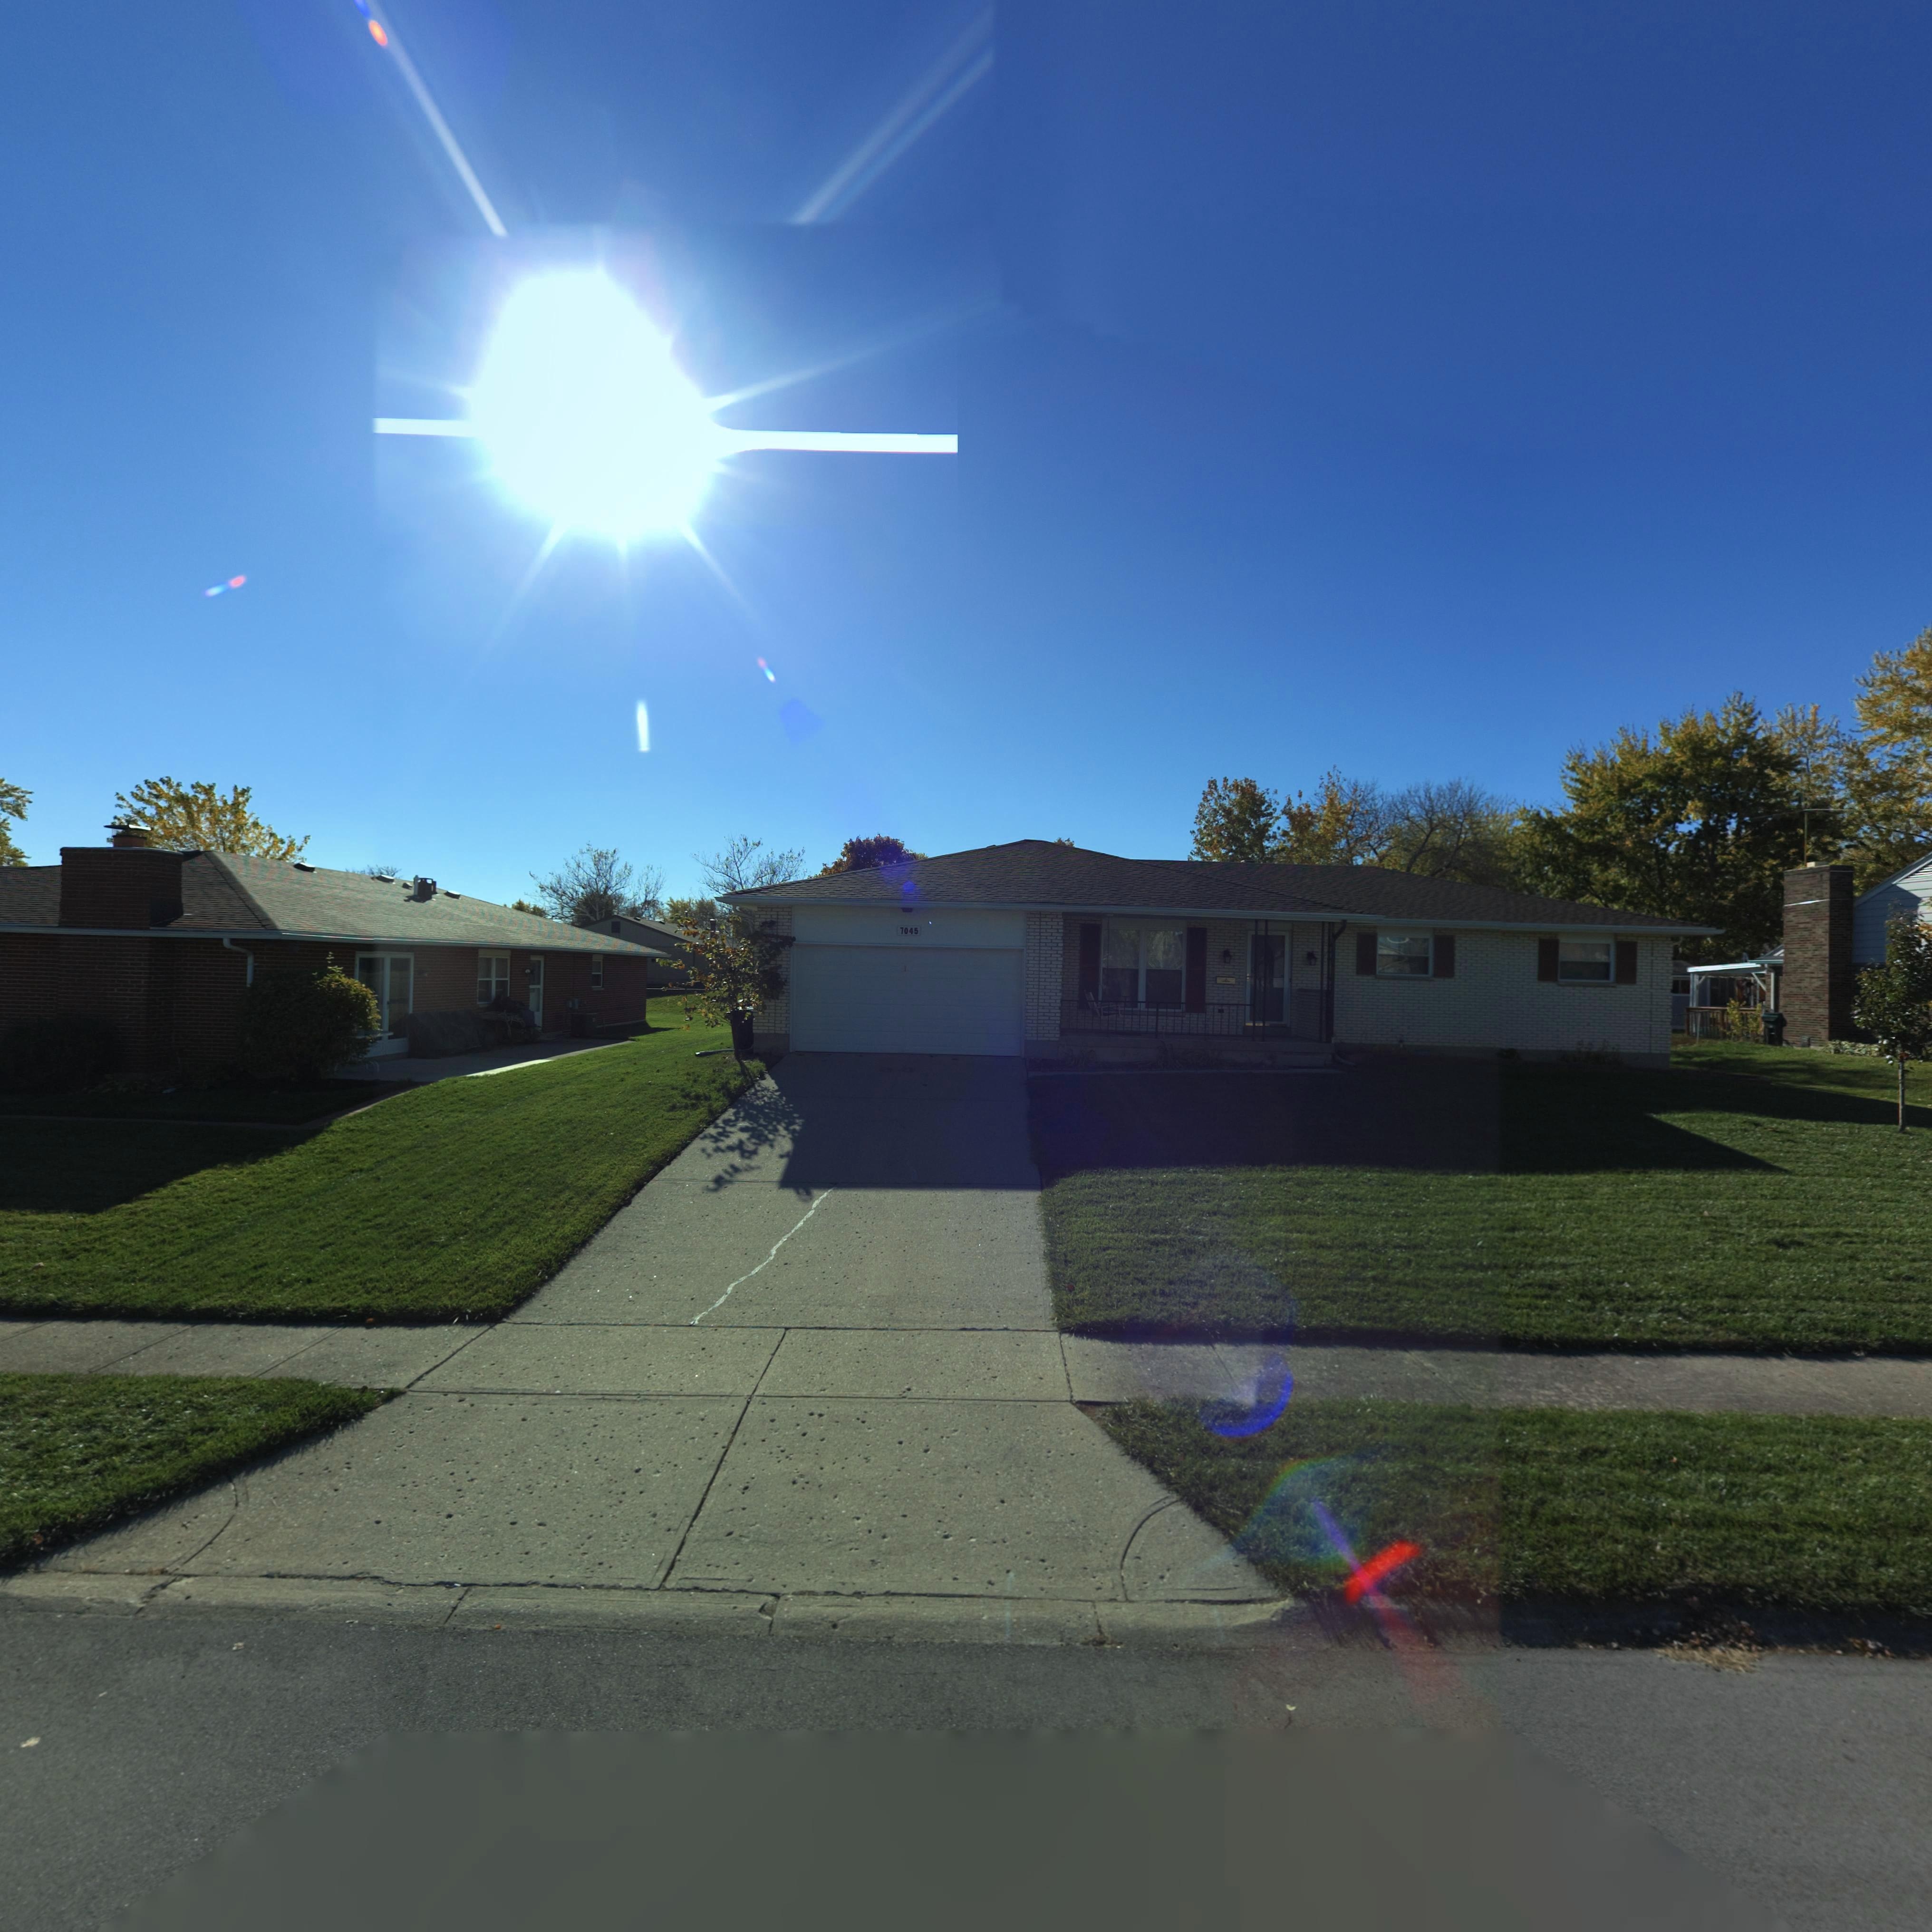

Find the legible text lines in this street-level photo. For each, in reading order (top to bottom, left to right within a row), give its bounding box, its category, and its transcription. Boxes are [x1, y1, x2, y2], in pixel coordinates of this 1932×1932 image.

[900, 927, 918, 935] StreetNumber: 7045